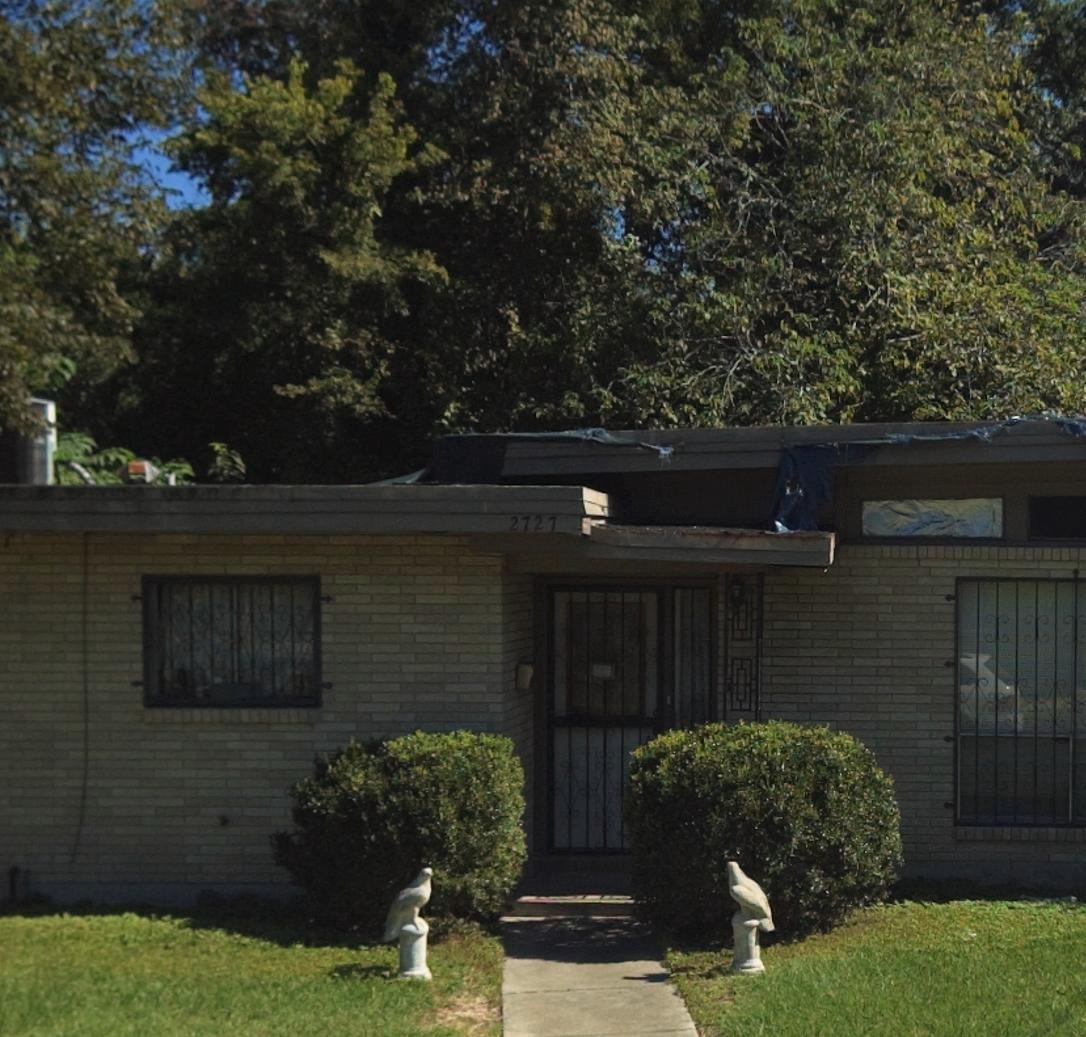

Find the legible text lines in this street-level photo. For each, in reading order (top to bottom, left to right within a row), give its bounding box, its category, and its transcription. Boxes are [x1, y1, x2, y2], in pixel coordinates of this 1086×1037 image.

[508, 514, 560, 533] StreetNumber: 2727